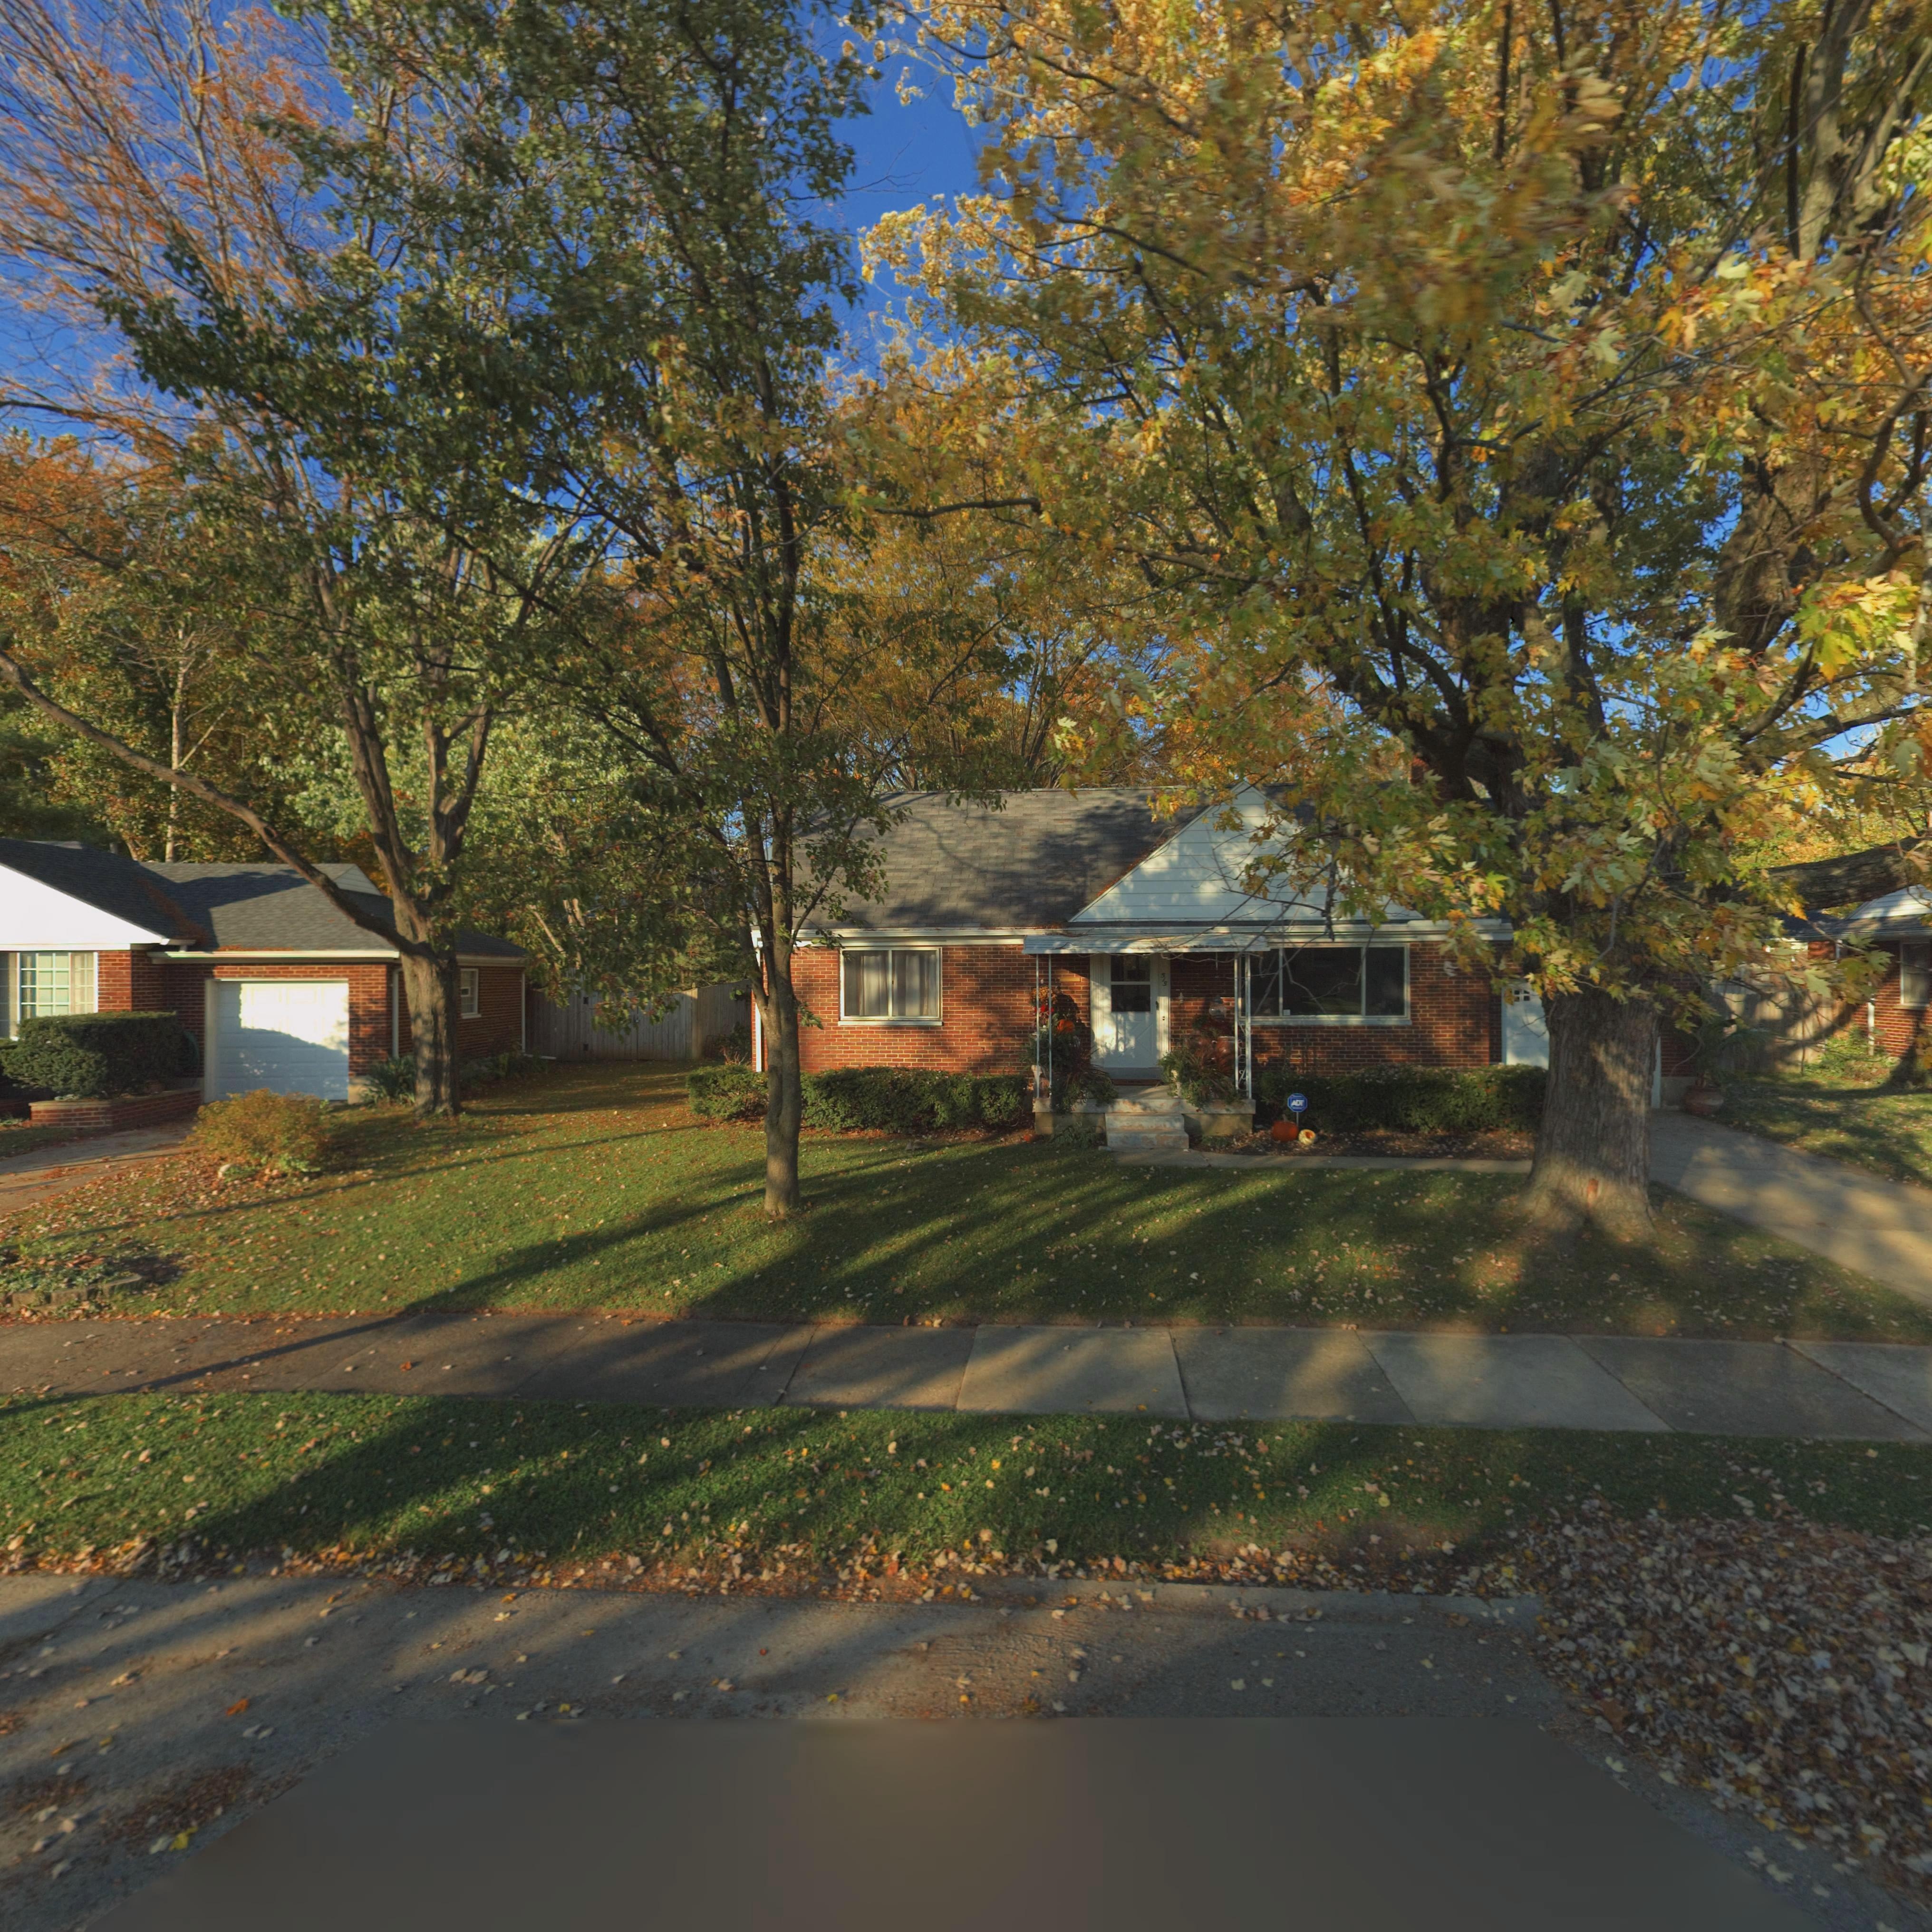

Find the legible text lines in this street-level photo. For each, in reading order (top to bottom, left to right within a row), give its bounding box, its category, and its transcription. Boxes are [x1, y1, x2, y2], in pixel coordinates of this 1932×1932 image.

[1159, 972, 1169, 987] StreetNumber: 515